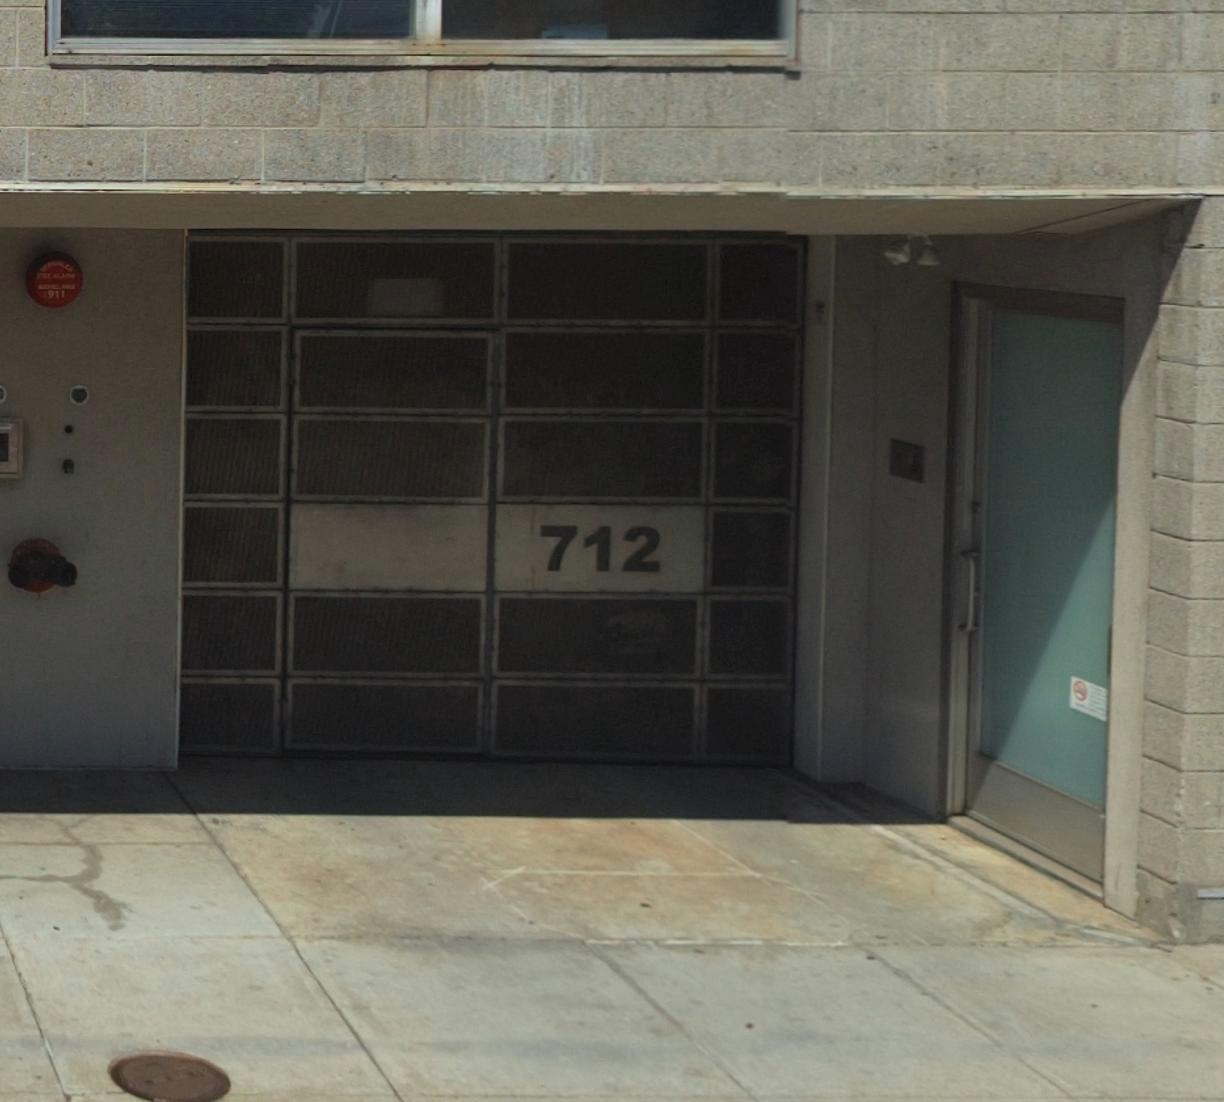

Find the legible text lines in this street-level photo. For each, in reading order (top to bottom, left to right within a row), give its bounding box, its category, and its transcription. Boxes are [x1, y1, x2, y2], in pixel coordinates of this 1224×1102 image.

[46, 290, 65, 299] None: 911
[537, 524, 662, 574] StreetNumber: 712